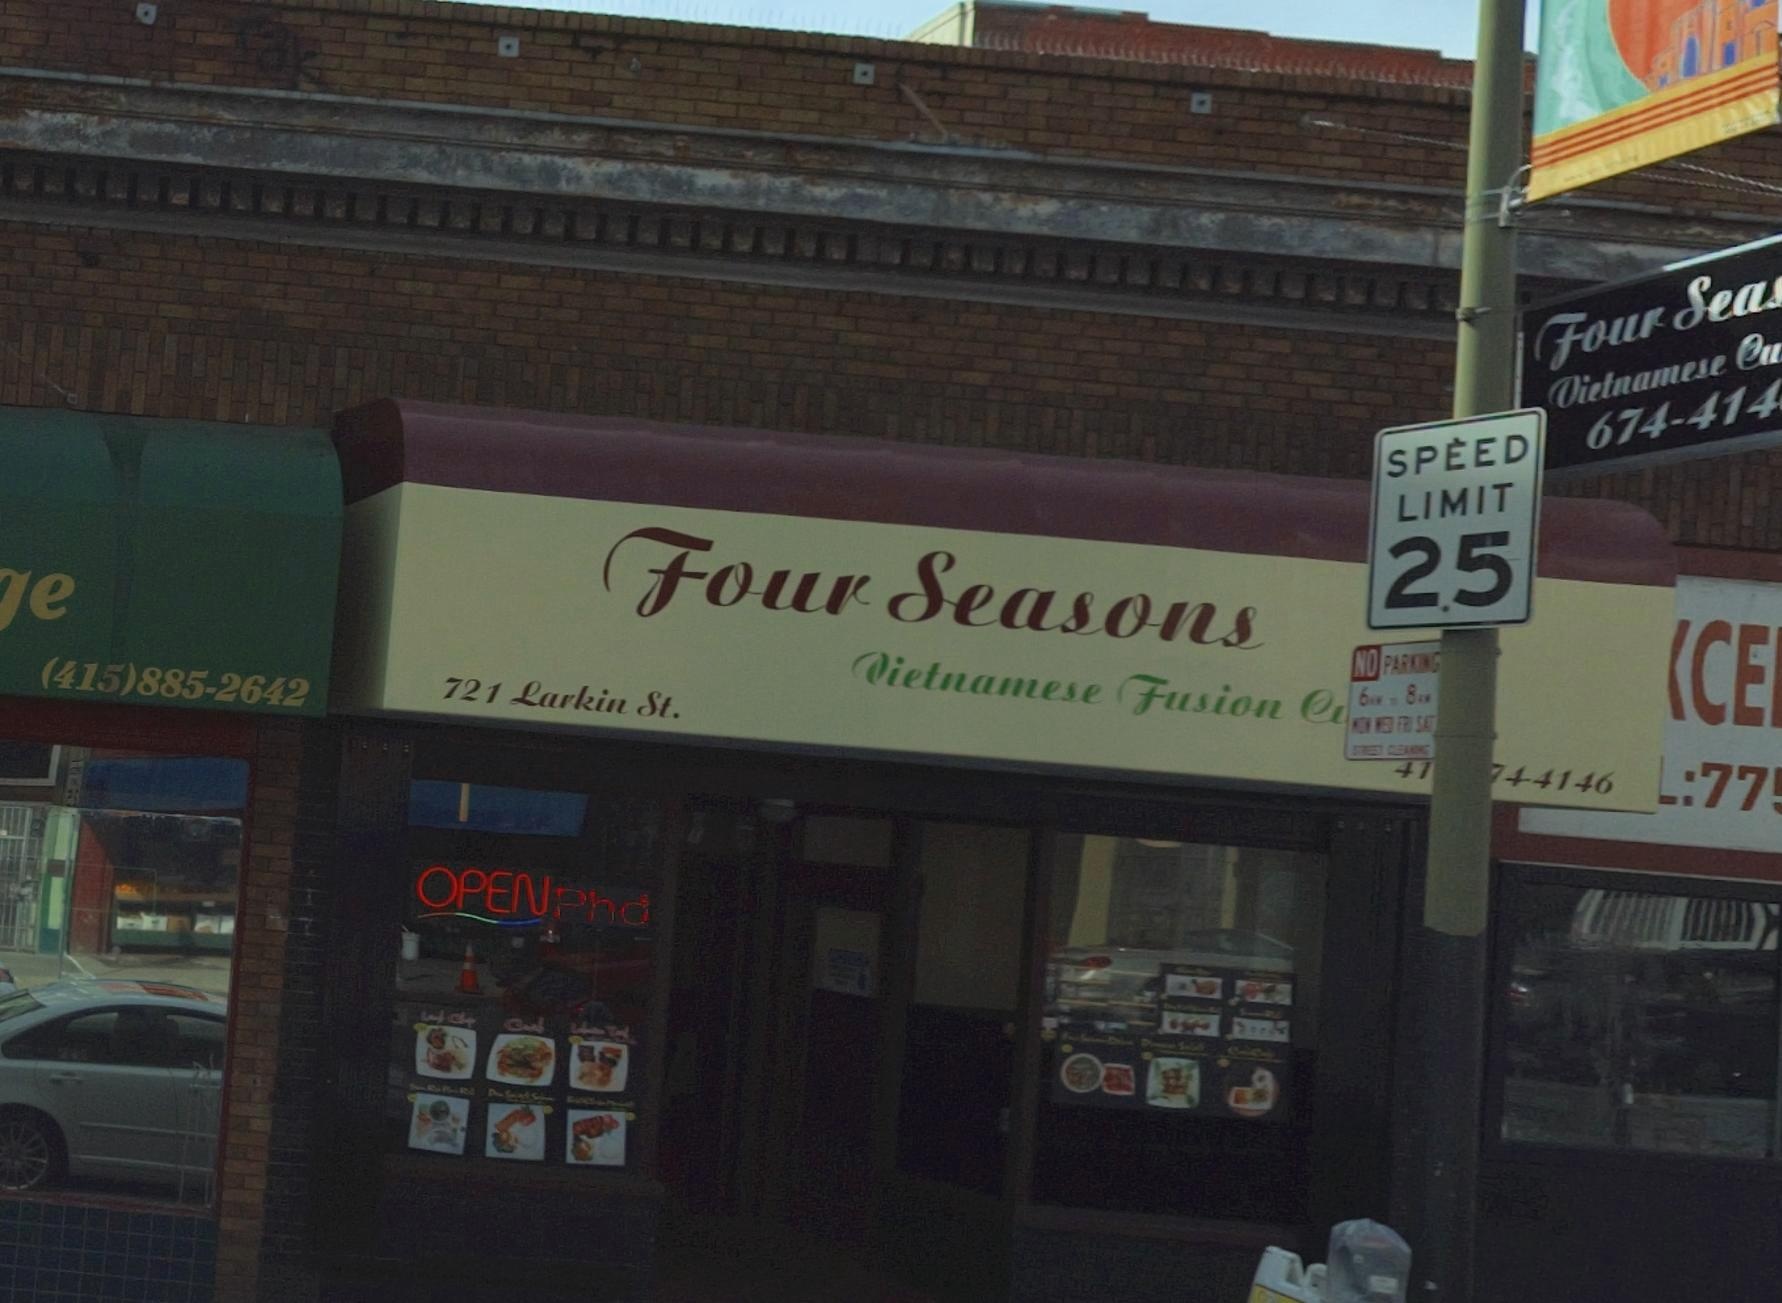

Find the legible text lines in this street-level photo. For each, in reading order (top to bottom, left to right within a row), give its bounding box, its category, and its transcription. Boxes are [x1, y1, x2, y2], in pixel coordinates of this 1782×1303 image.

[1538, 269, 1774, 377] BusinessName: Four Sea
[1552, 328, 1781, 415] BusinessName: Vietnamese Cu
[1582, 377, 1781, 453] None: 674-414
[1383, 429, 1533, 482] None: SPEED
[1394, 479, 1516, 526] None: LIMIT
[26, 569, 79, 623] BusinessName: e
[624, 518, 1264, 655] BusinessName: Four Seasons
[1379, 526, 1519, 614] None: 25
[37, 652, 313, 711] None: (415)885-2642
[439, 671, 508, 709] StreetNumber: 721
[506, 675, 684, 722] StreetName: Larkin St.
[850, 646, 1339, 729] BusinessName: *ietnamese Fusion C
[1356, 684, 1372, 710] None: 6
[1350, 646, 1444, 681] None: NO PARKING
[1402, 680, 1419, 709] None: 8
[1688, 615, 1773, 730] BusinessName: CE
[1488, 758, 1622, 799] None: 74 4146
[1698, 758, 1774, 816] None: 77
[414, 864, 553, 920] None: OPEN
[551, 883, 653, 930] None: Phd